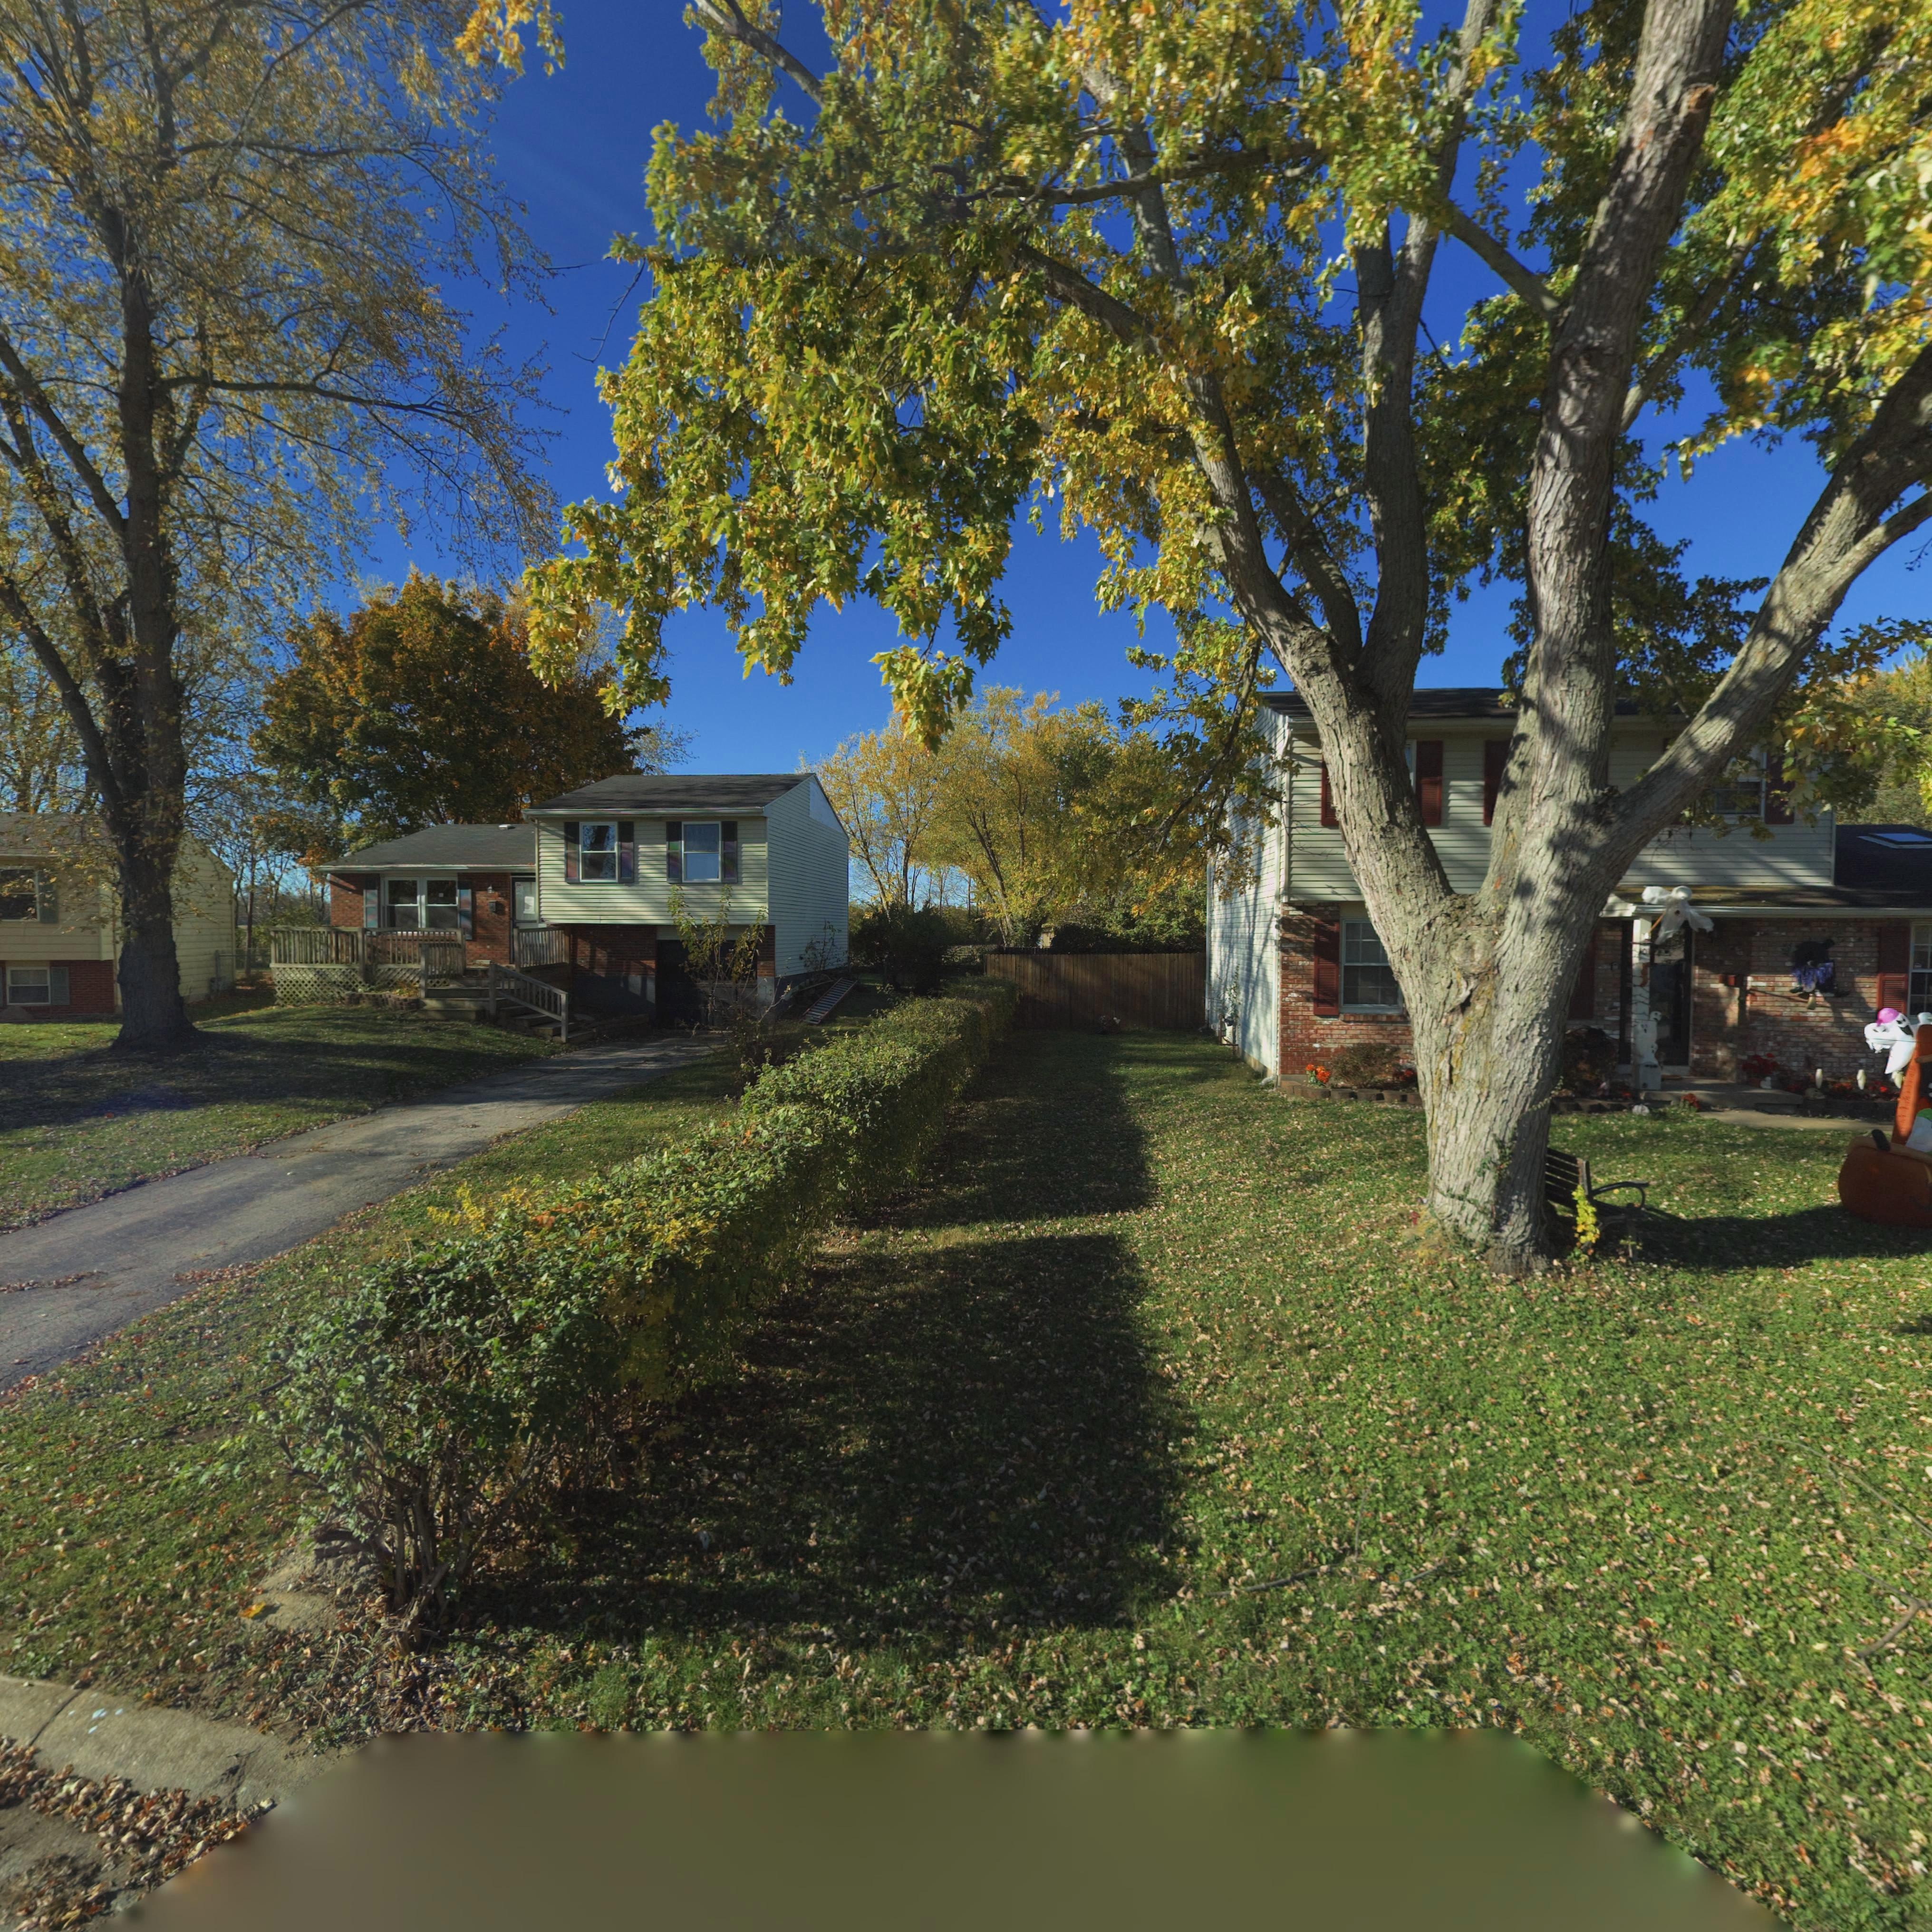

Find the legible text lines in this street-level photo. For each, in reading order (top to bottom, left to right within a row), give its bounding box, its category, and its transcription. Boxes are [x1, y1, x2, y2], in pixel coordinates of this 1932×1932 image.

[1639, 947, 1651, 955] StreetNumber: 101